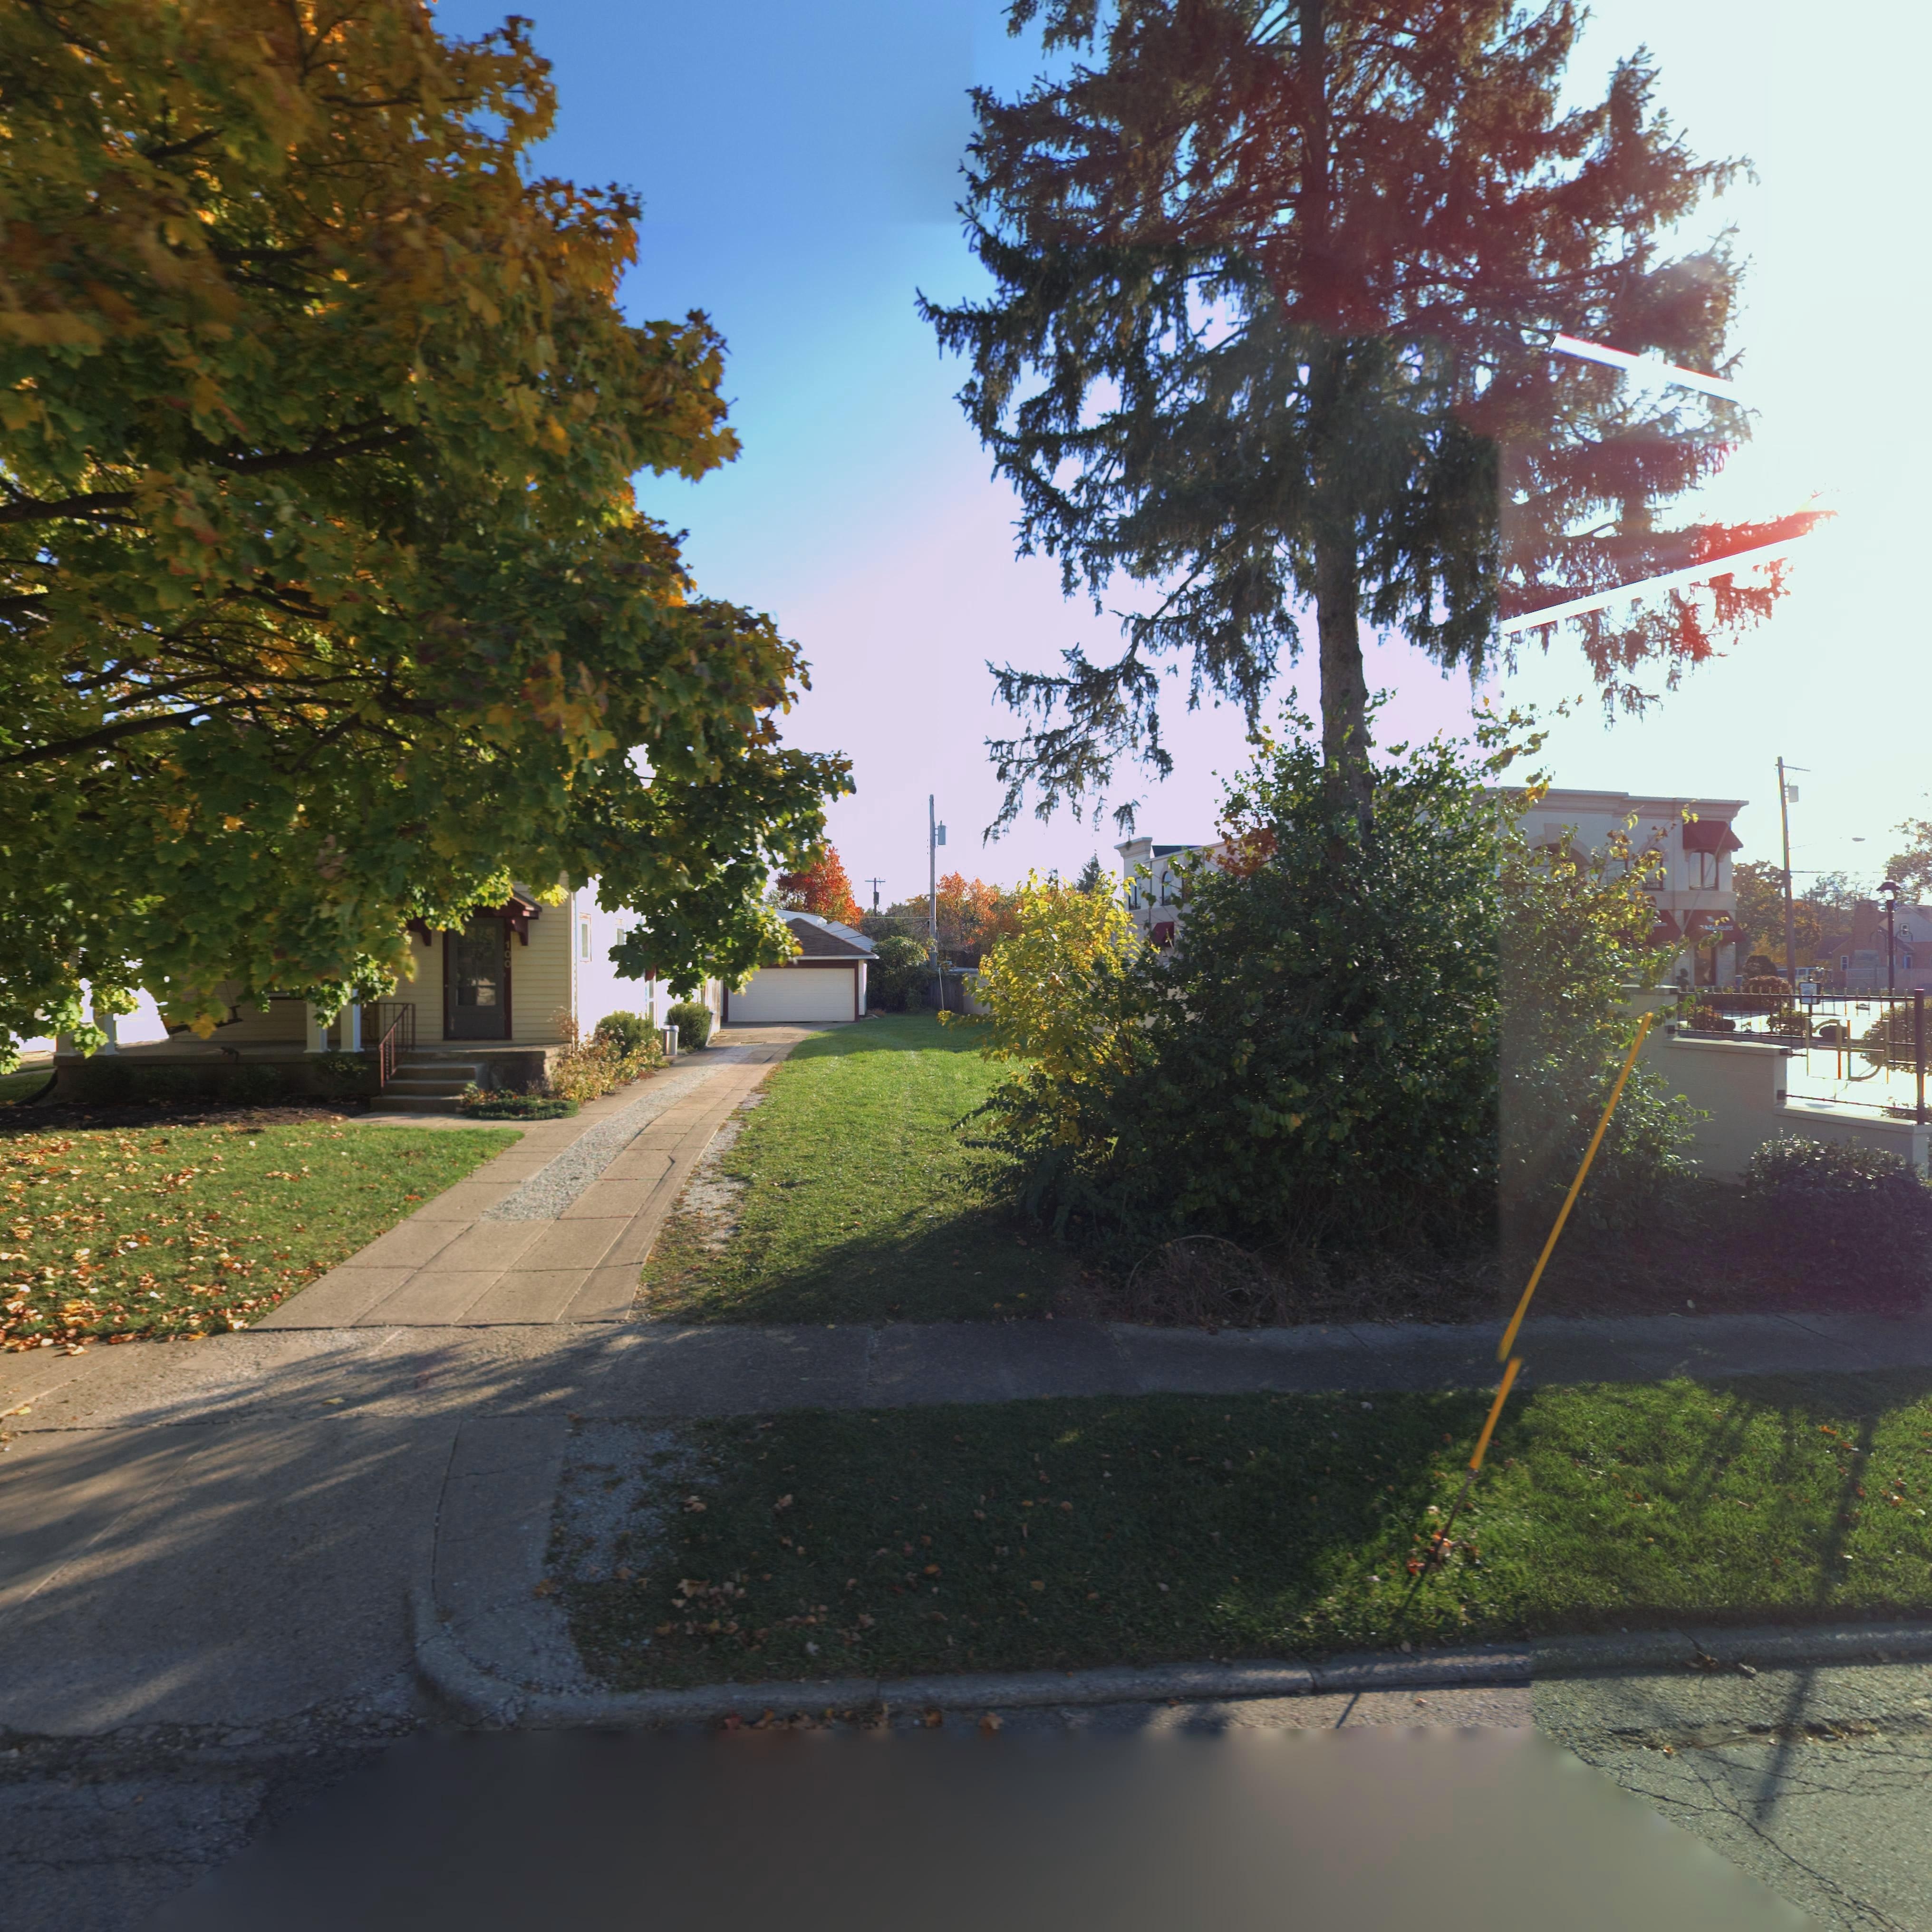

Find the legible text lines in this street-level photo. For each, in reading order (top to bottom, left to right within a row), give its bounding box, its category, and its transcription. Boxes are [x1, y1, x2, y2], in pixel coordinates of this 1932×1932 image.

[503, 940, 512, 968] StreetNumber: 100